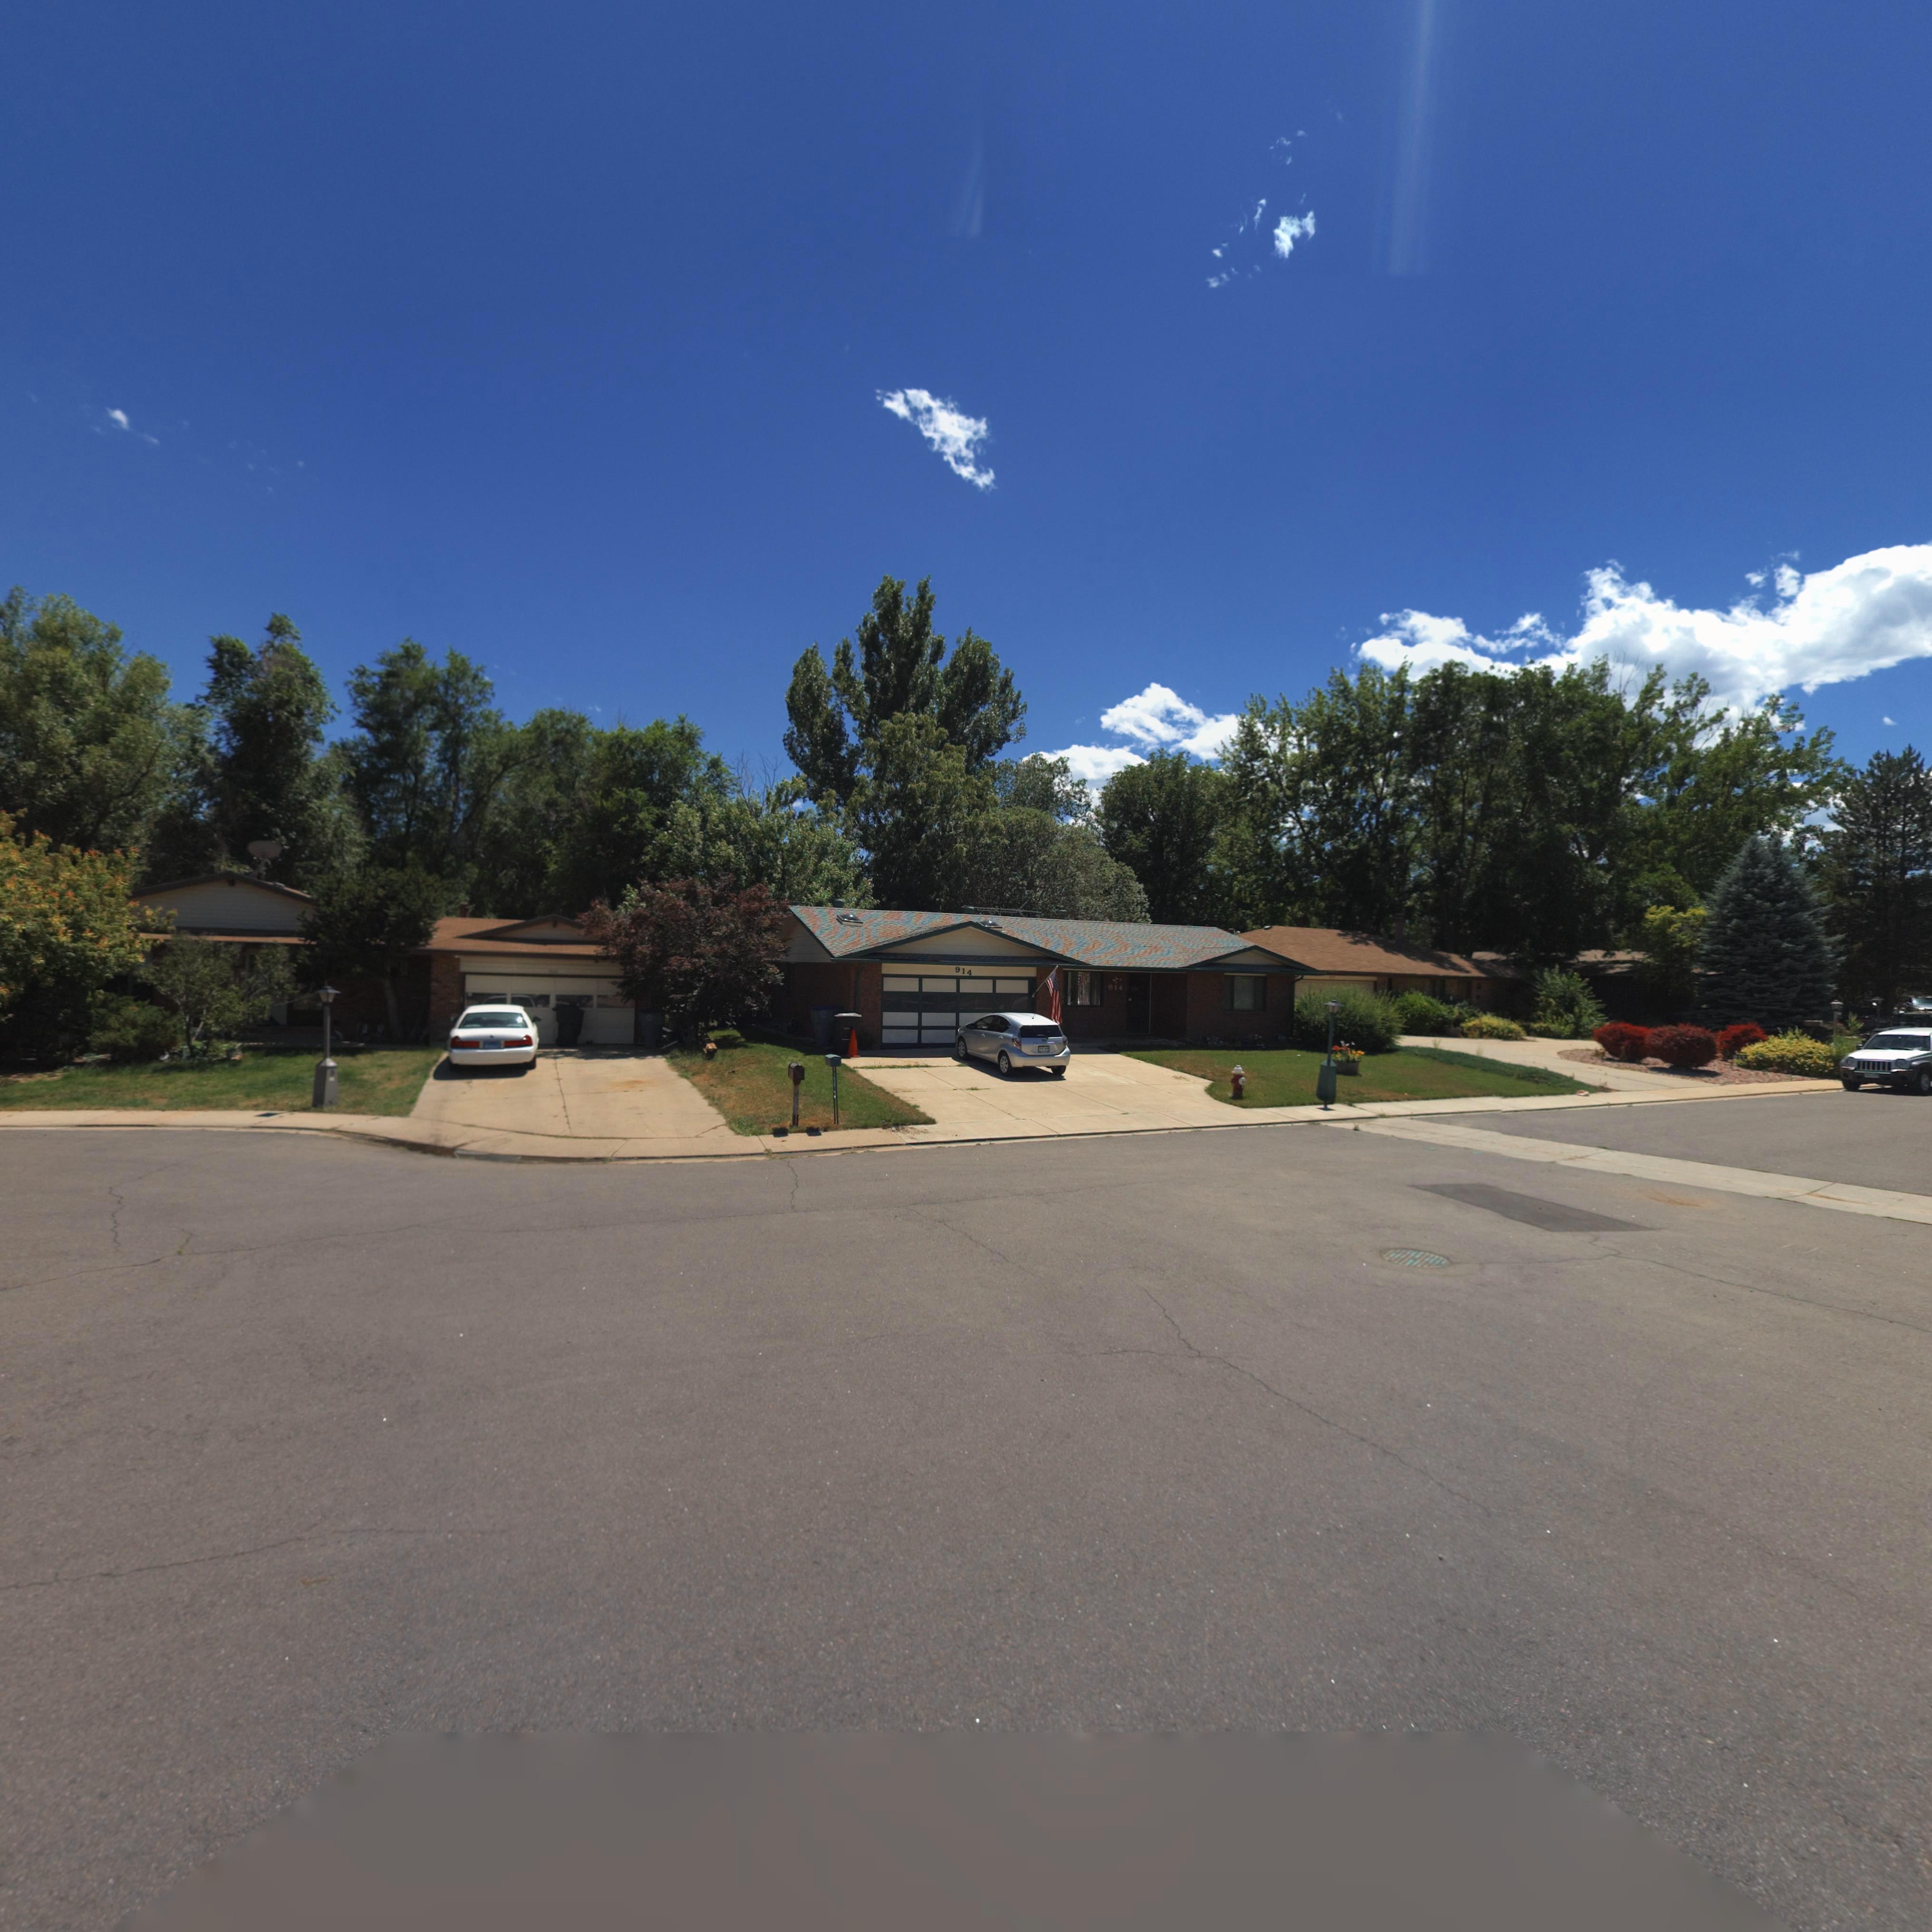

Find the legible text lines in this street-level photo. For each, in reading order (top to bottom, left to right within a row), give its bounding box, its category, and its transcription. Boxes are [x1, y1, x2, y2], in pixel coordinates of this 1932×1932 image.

[955, 966, 972, 976] StreetNumber: 914
[1108, 984, 1123, 991] StreetNumber: 914